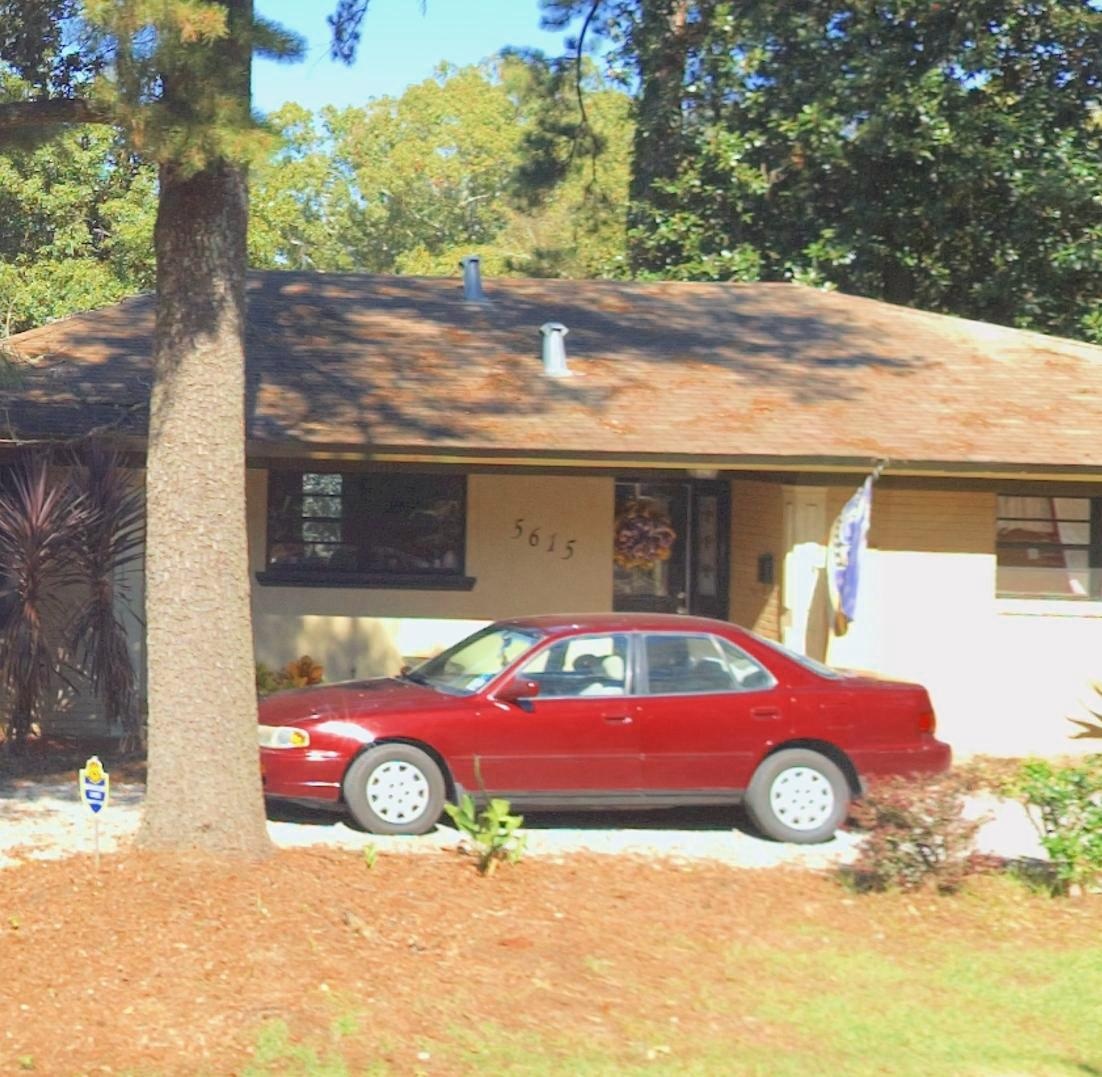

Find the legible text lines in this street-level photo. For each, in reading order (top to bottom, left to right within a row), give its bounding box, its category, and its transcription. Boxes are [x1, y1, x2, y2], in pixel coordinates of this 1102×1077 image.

[505, 516, 579, 566] StreetNumber: 5615